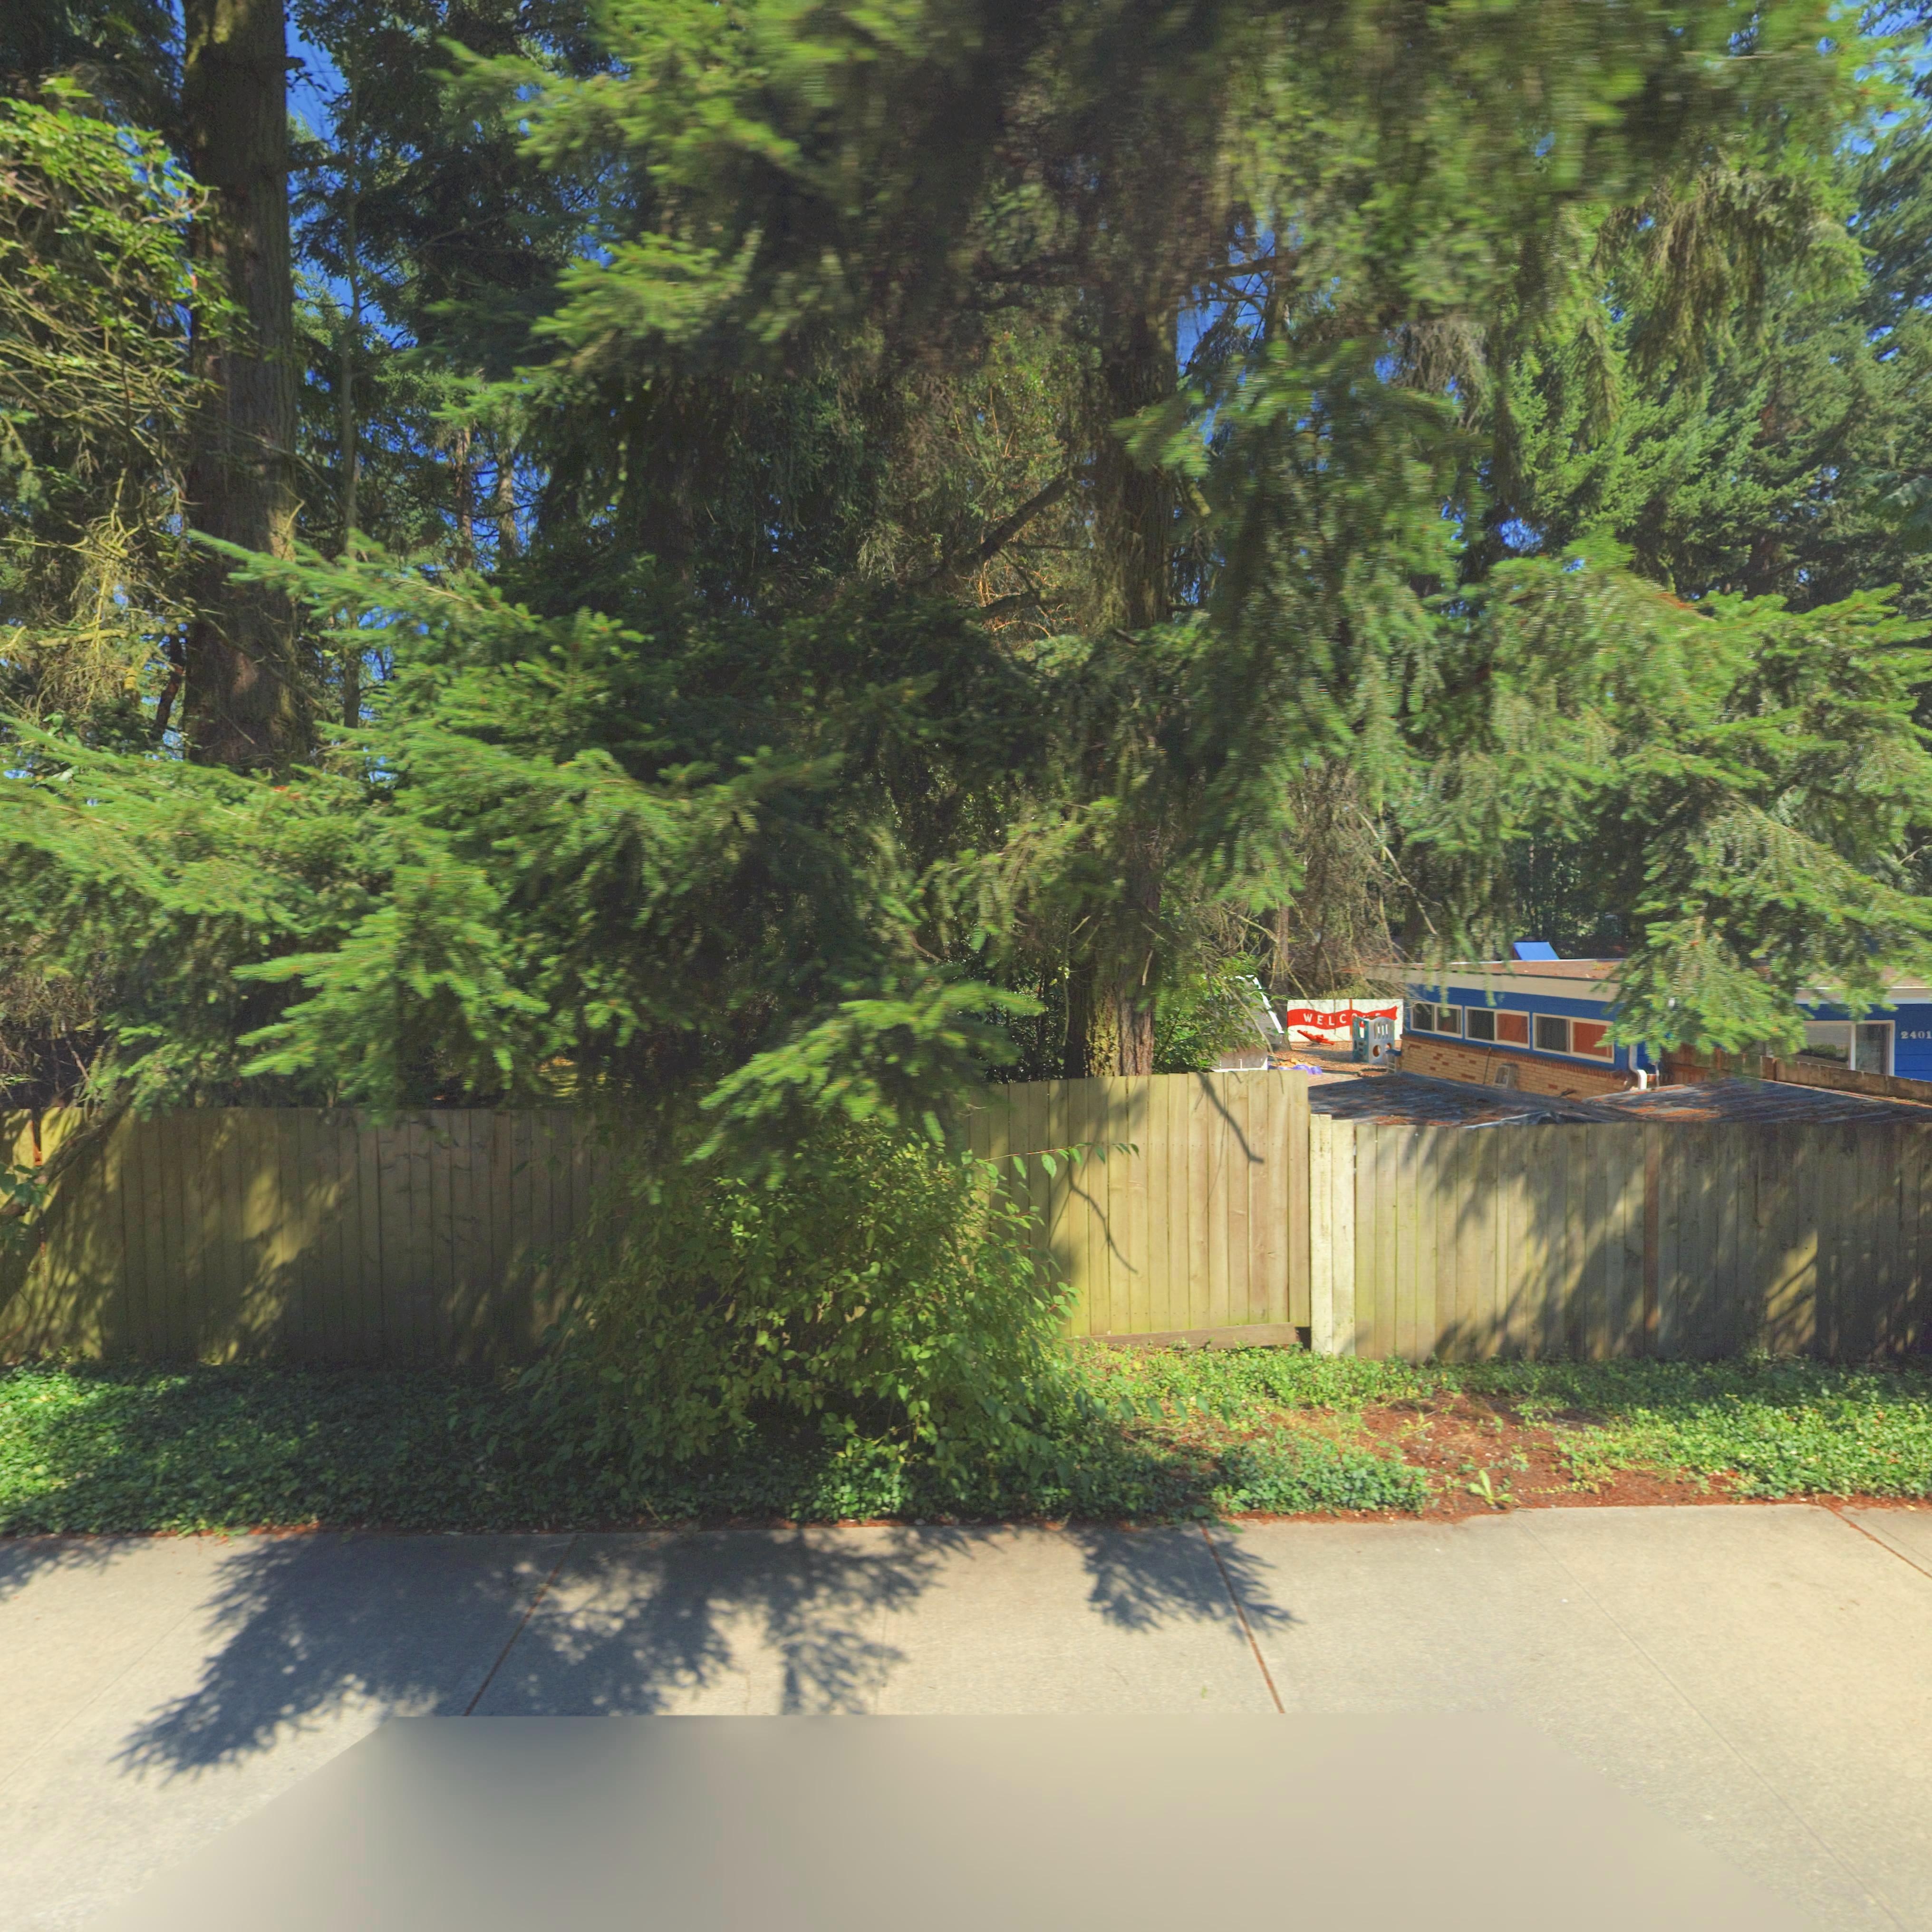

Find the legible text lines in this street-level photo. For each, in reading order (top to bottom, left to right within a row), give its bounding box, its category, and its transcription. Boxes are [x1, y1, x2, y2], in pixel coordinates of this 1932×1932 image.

[1900, 1031, 1932, 1040] StreetNumber: 2401